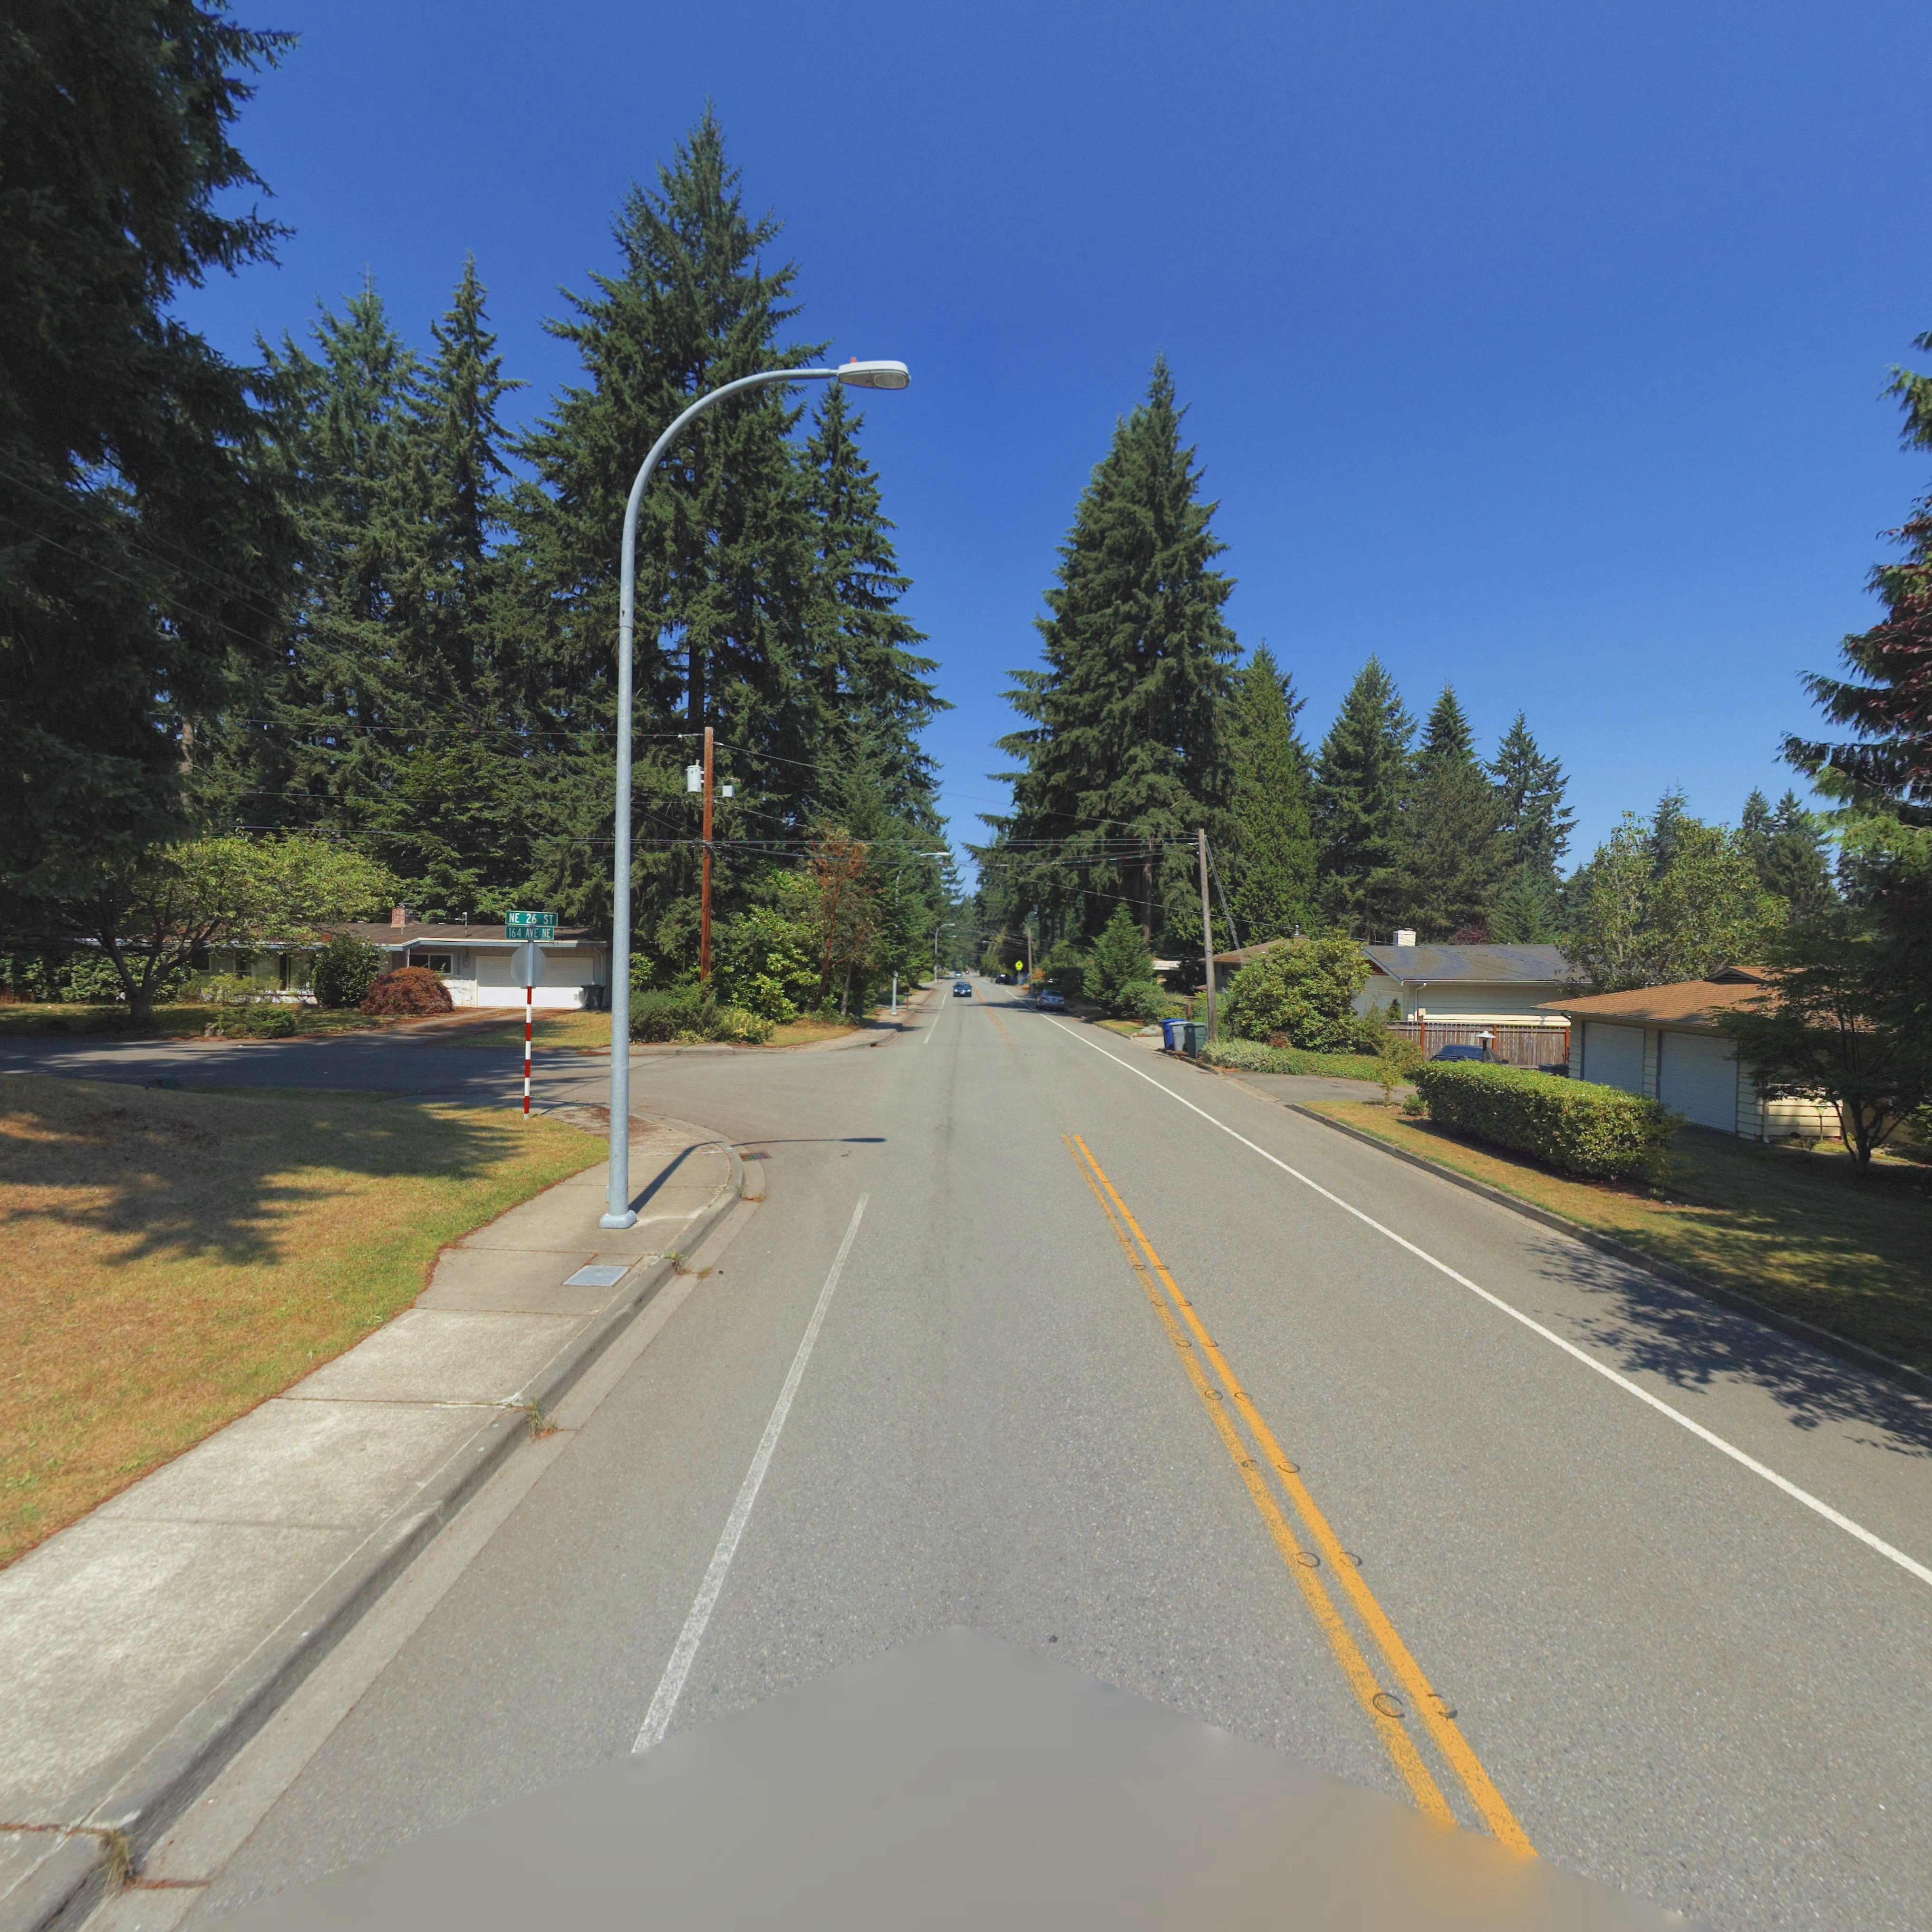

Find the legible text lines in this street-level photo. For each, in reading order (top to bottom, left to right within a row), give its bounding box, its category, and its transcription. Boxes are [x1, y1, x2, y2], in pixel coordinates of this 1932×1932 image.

[508, 912, 554, 924] StreetName: NE 26 ST
[509, 927, 551, 939] StreetName: 164 AVE NE